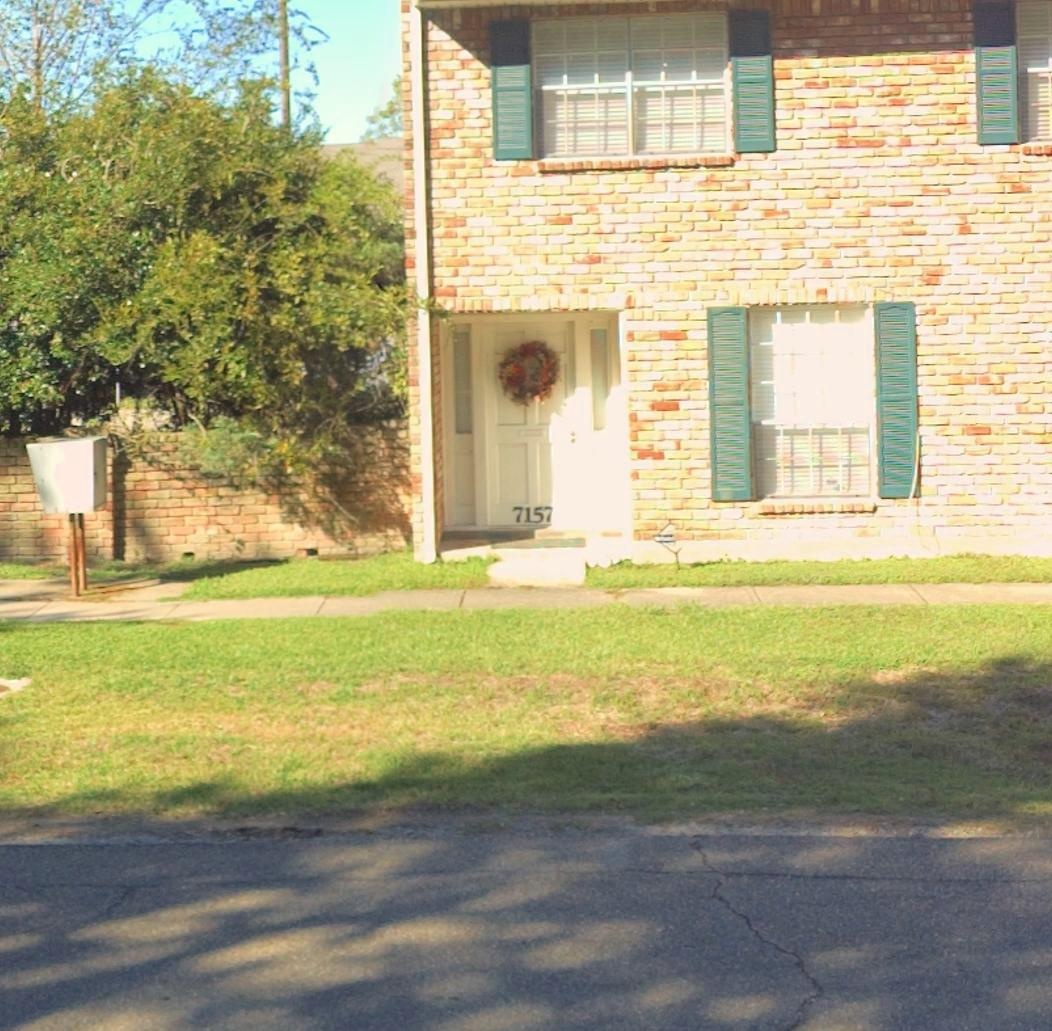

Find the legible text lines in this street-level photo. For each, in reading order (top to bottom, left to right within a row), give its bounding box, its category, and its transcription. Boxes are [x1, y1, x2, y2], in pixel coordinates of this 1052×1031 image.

[511, 505, 555, 524] StreetNumber: 7157